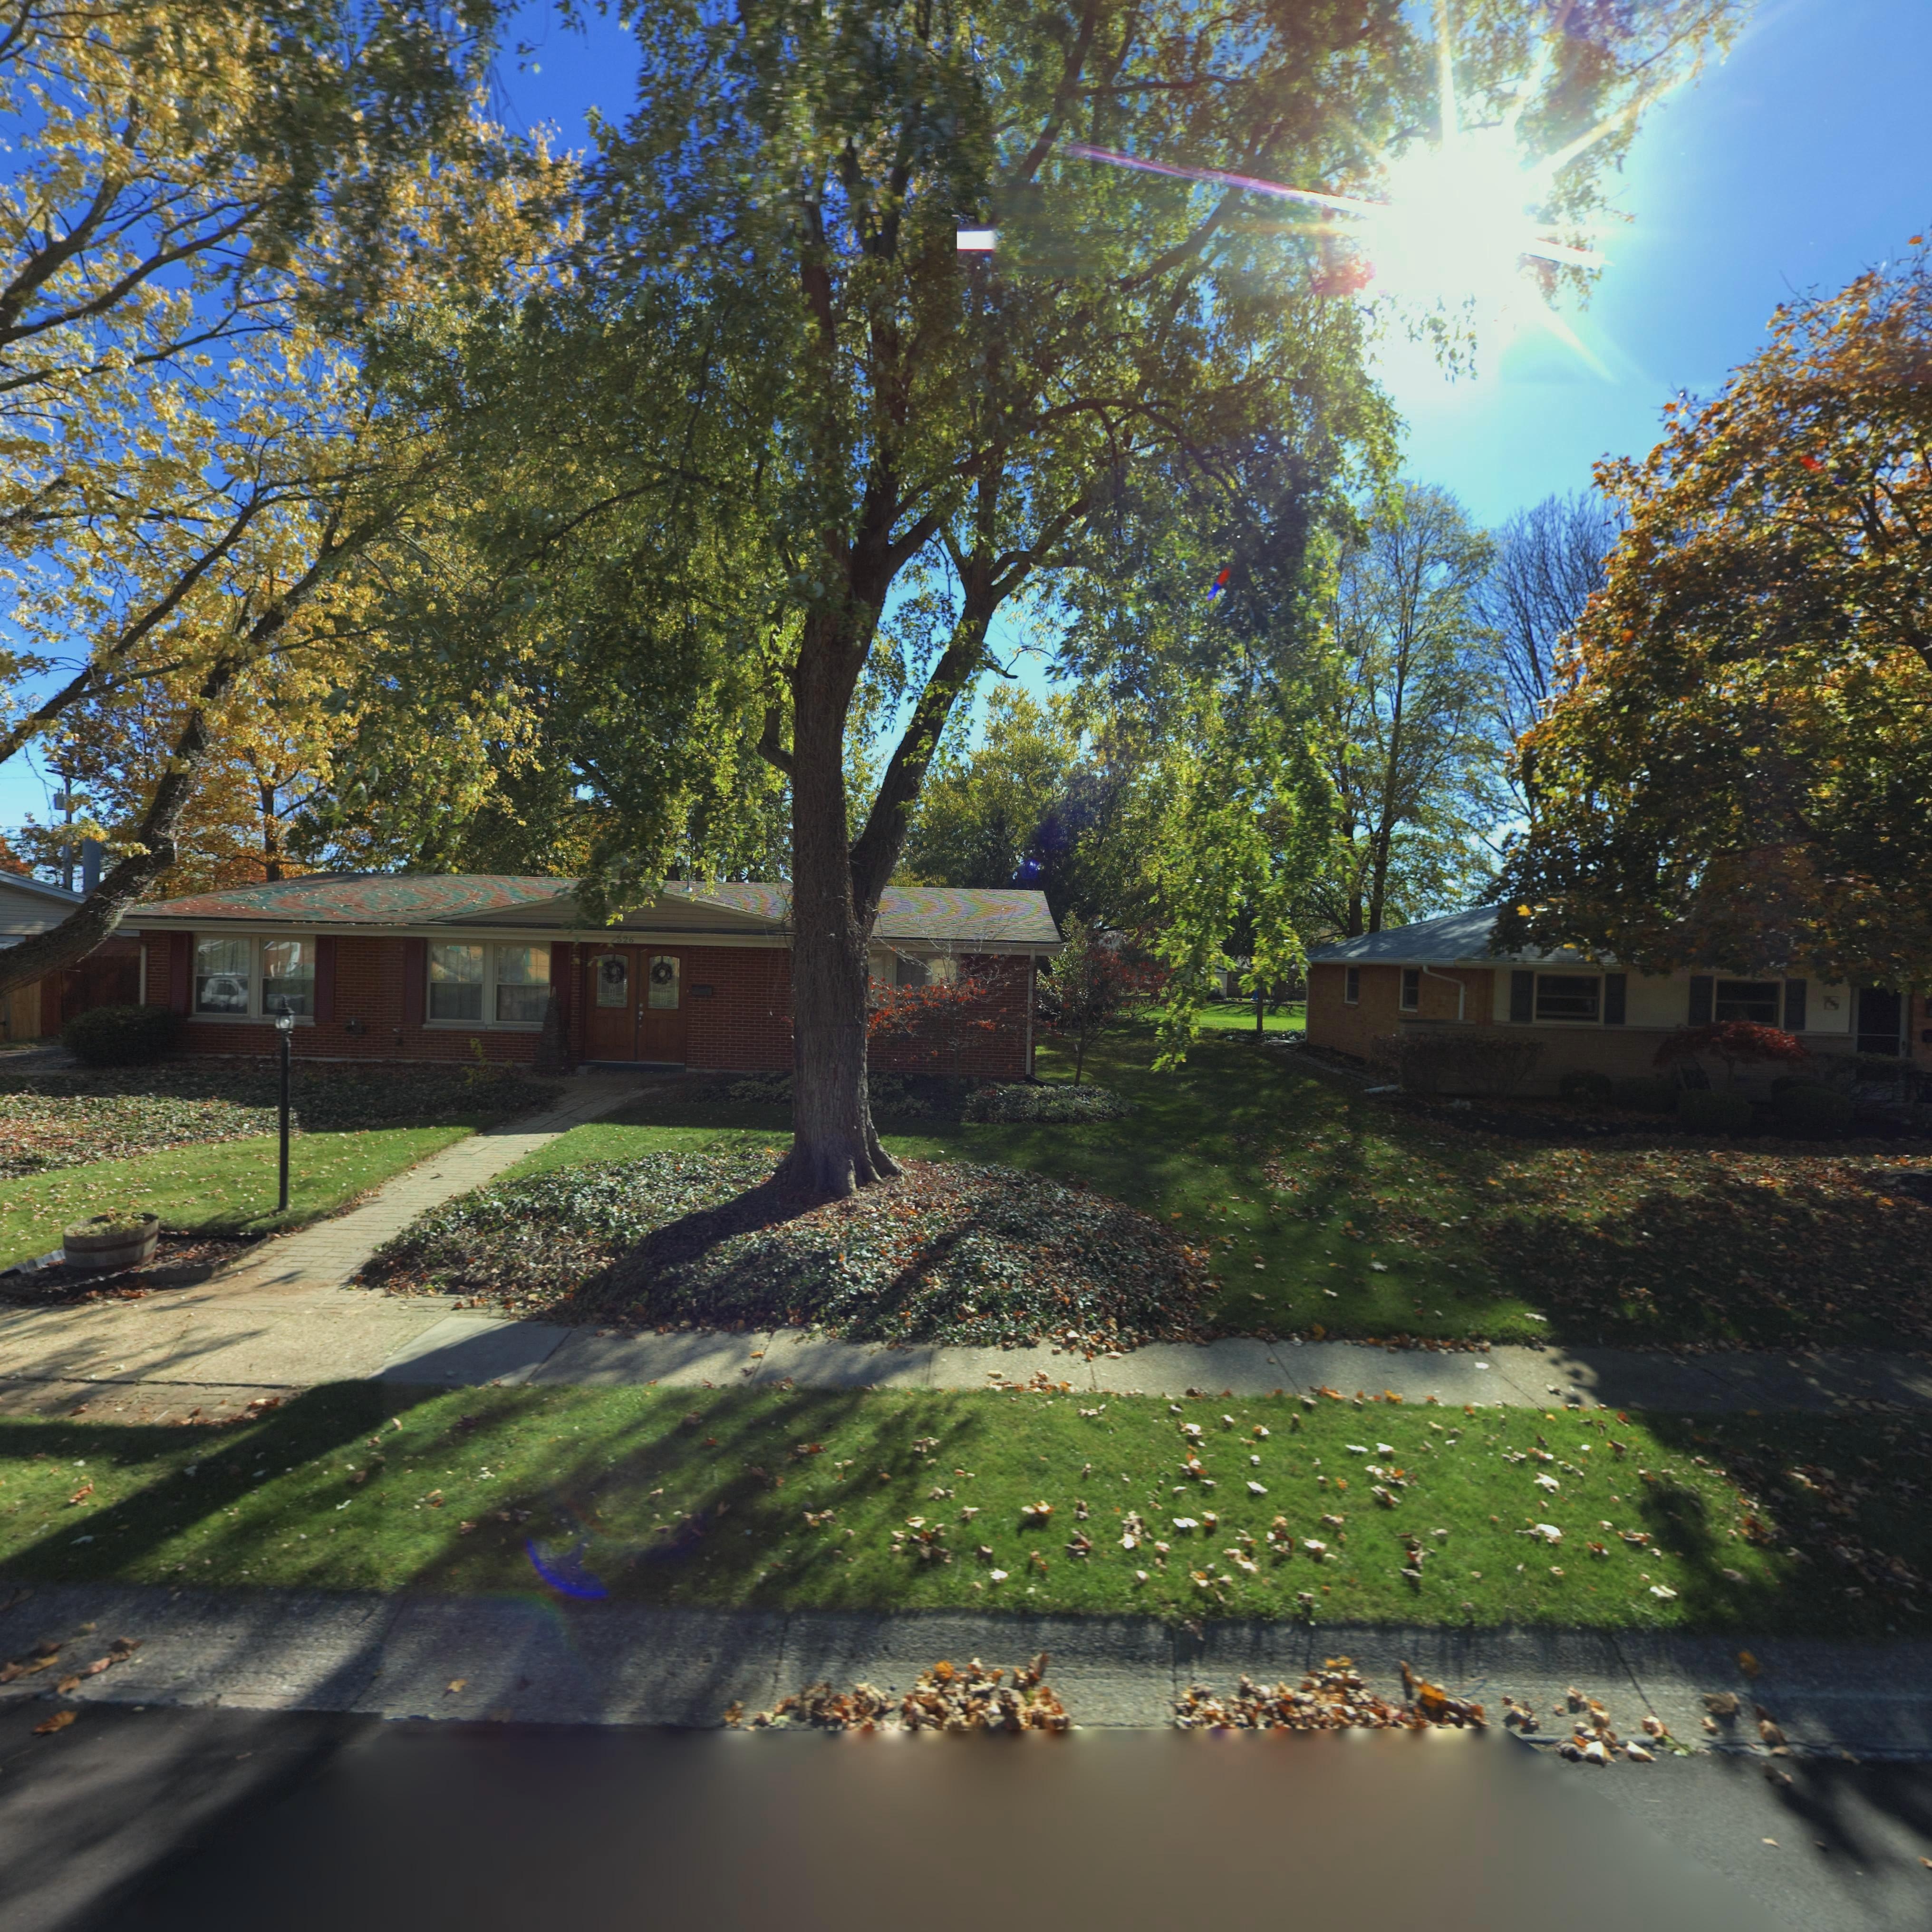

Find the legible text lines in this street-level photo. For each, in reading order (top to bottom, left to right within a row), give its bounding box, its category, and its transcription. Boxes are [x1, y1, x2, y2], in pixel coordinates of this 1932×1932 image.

[616, 935, 635, 944] StreetNumber: 526